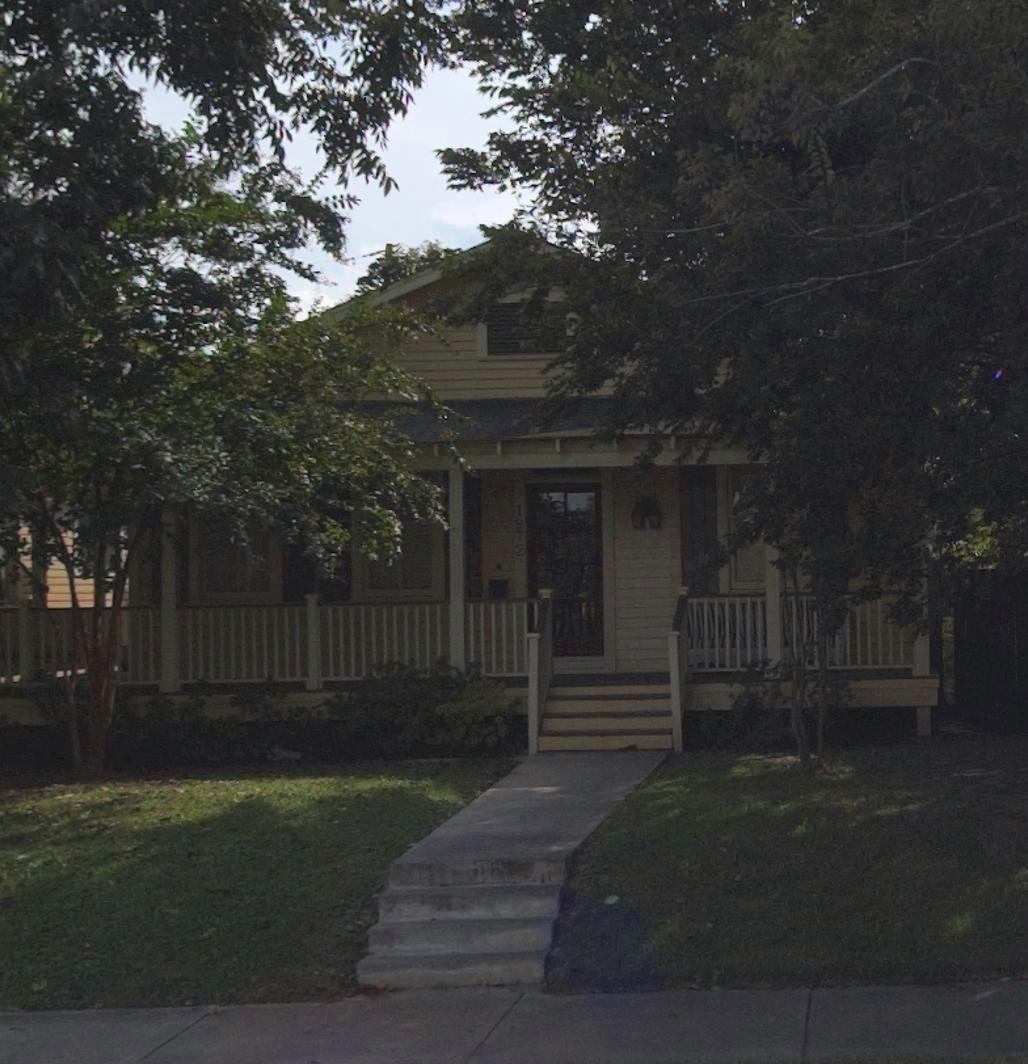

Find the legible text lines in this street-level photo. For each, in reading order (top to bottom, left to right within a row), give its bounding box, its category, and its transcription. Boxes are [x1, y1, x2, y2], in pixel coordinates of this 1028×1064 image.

[512, 500, 528, 562] StreetNumber: 1972